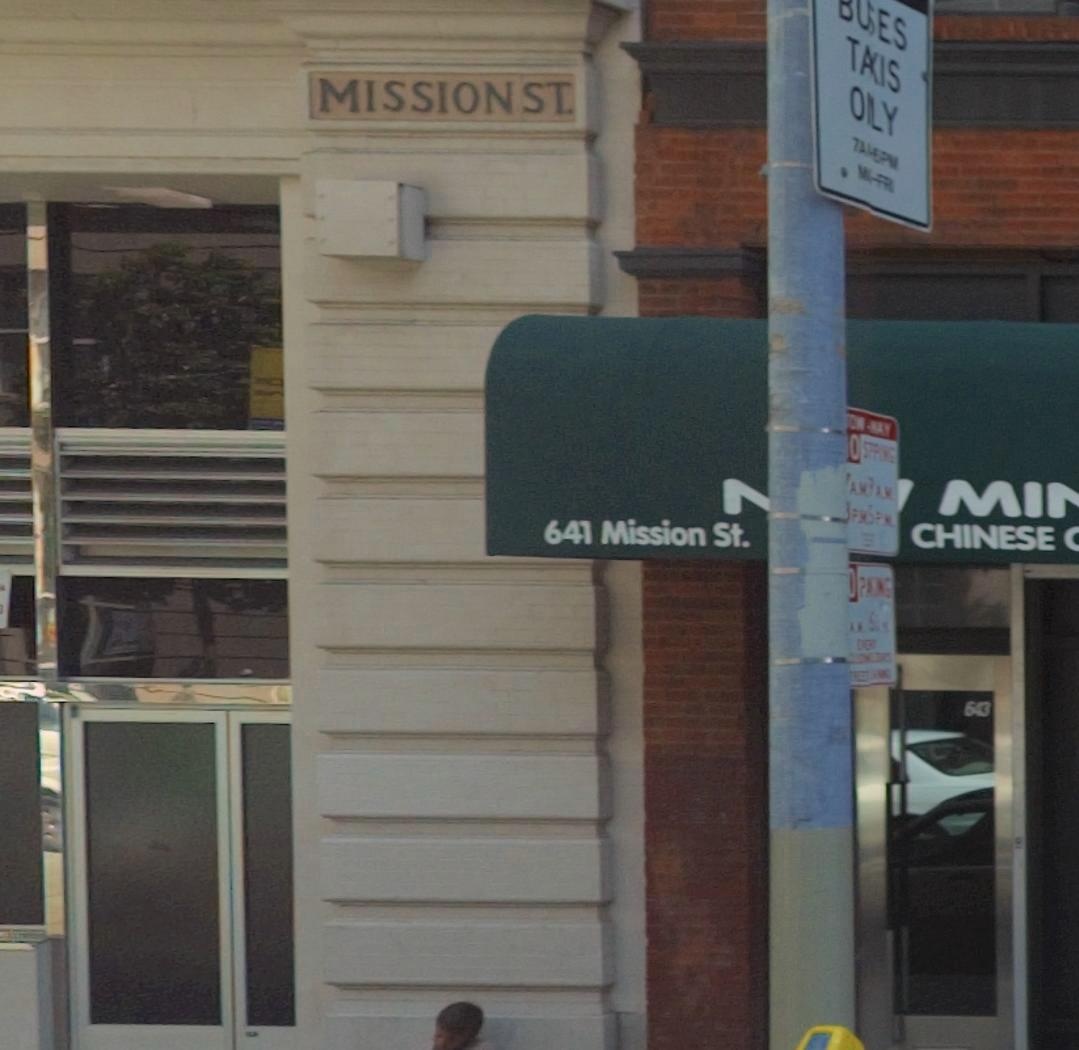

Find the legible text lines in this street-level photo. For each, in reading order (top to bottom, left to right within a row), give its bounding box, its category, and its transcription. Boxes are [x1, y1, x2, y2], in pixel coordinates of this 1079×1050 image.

[877, 5, 911, 53] None: ES
[843, 34, 902, 98] None: TA*IS
[314, 74, 575, 117] StreetName: MISSION ST.
[847, 80, 904, 143] None: OLY
[848, 133, 869, 162] None: 7A
[848, 430, 863, 463] None: O
[848, 476, 895, 501] None: AM*AM
[937, 475, 1043, 520] BusinessName: MI
[849, 502, 895, 527] None: PM5PM
[541, 518, 595, 547] StreetNumber: 641
[599, 516, 750, 549] StreetName: Mission St.
[909, 517, 1057, 553] BusinessName: CHINESE
[961, 698, 992, 718] StreetNumber: 643